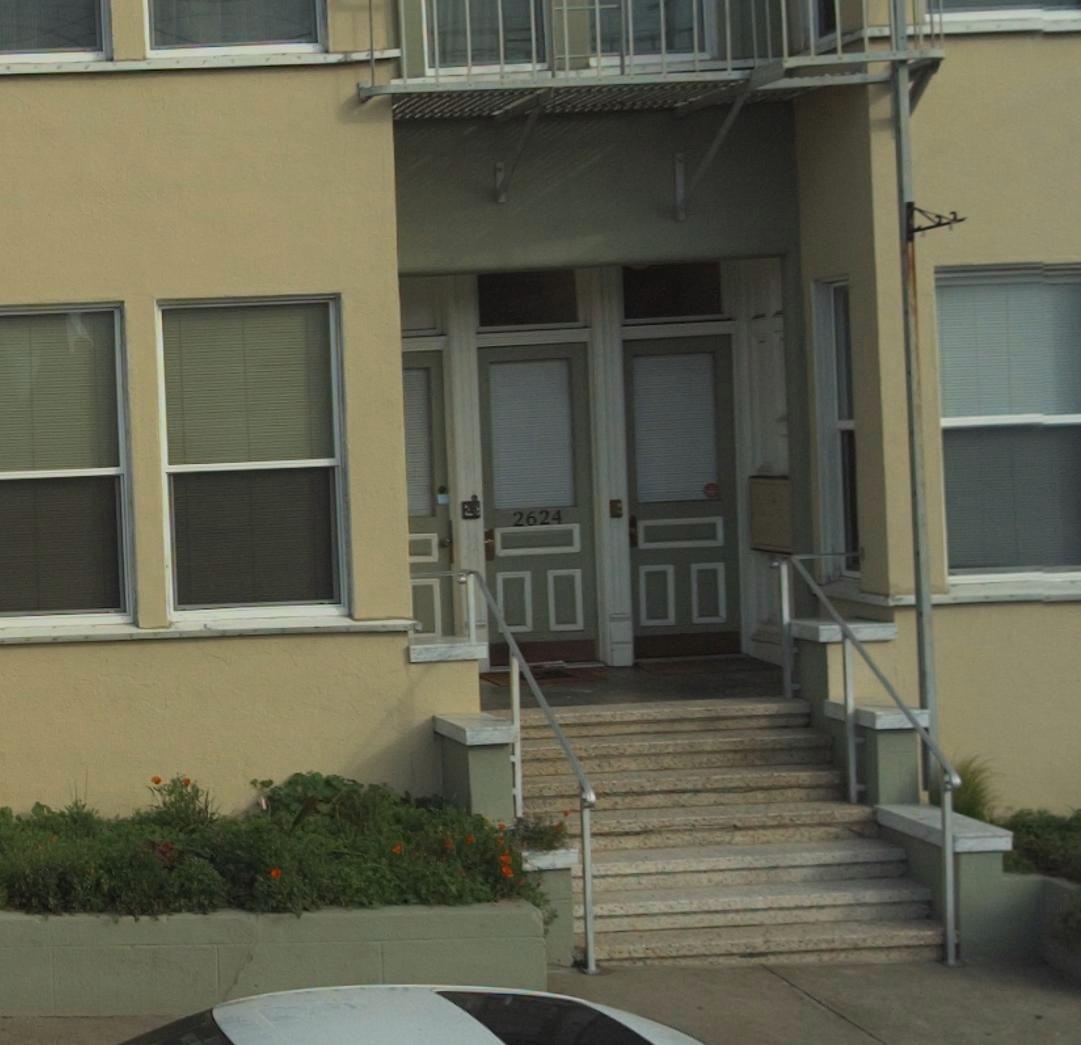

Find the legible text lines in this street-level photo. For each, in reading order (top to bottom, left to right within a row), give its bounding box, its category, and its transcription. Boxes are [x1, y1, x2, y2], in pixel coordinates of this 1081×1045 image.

[510, 506, 566, 531] StreetNumber: 2624